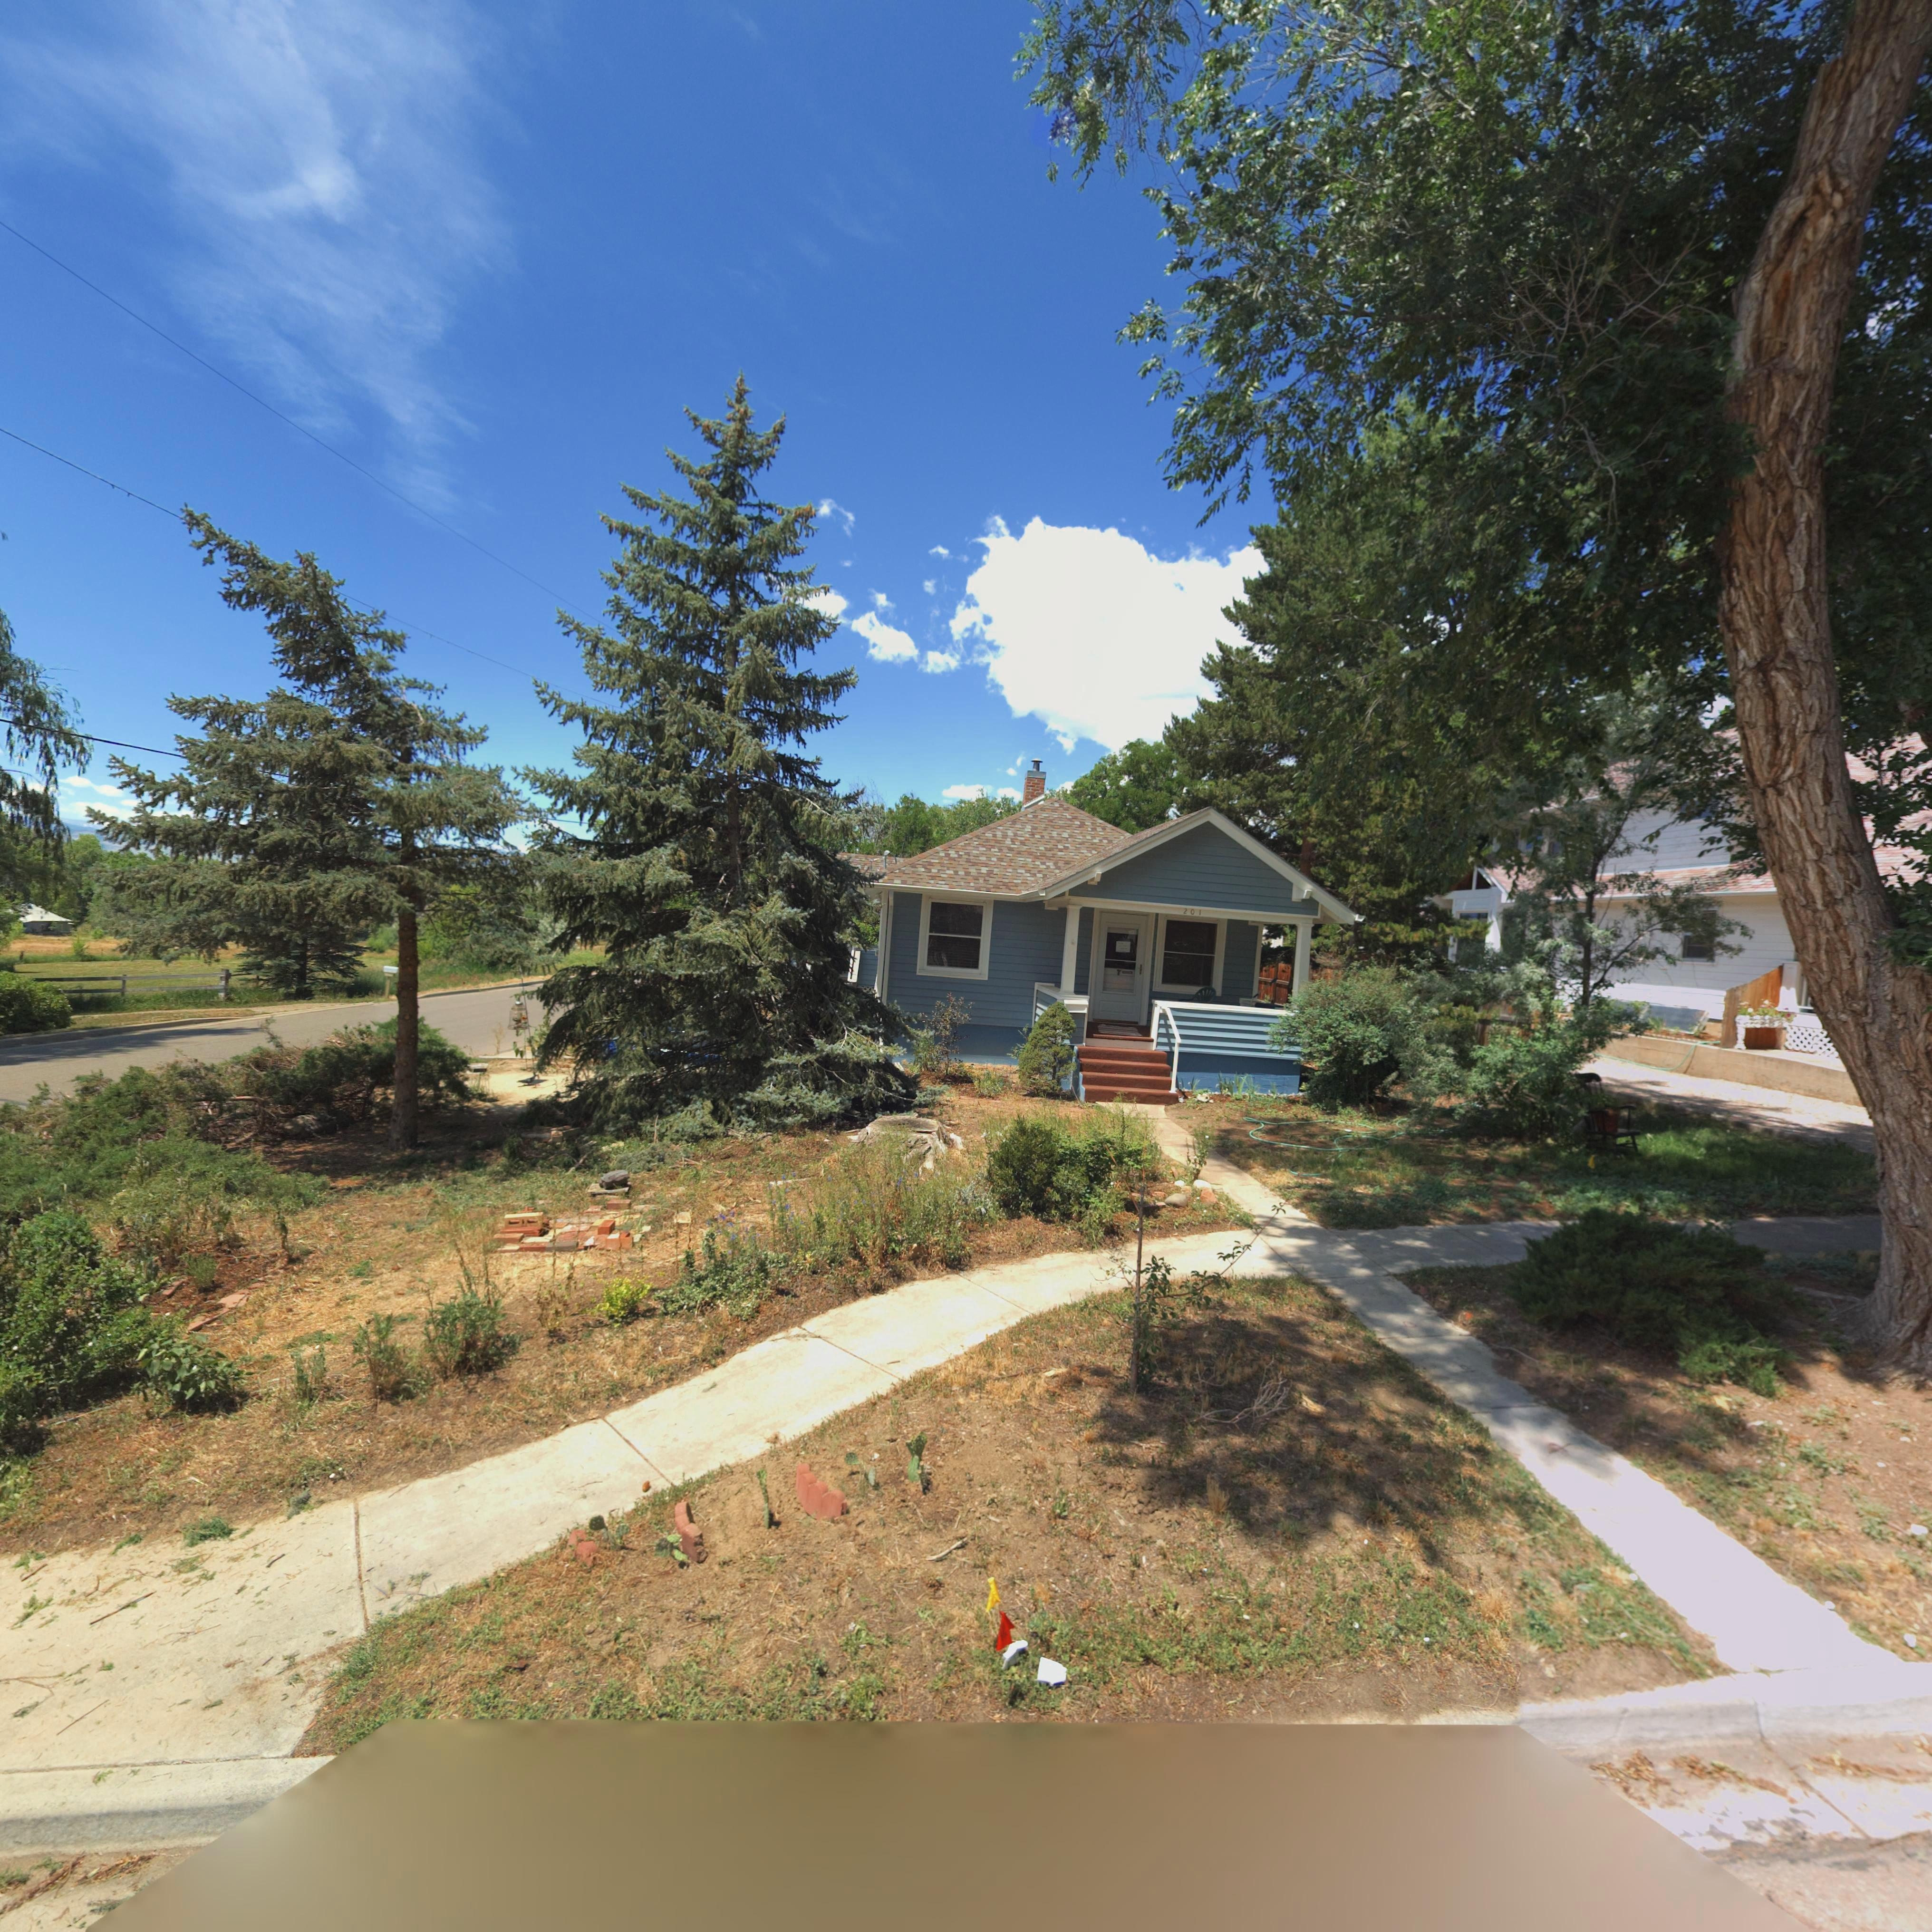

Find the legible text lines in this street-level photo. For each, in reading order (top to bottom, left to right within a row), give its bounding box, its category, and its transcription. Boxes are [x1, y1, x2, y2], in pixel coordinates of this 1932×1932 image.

[1183, 908, 1201, 915] StreetNumber: 201